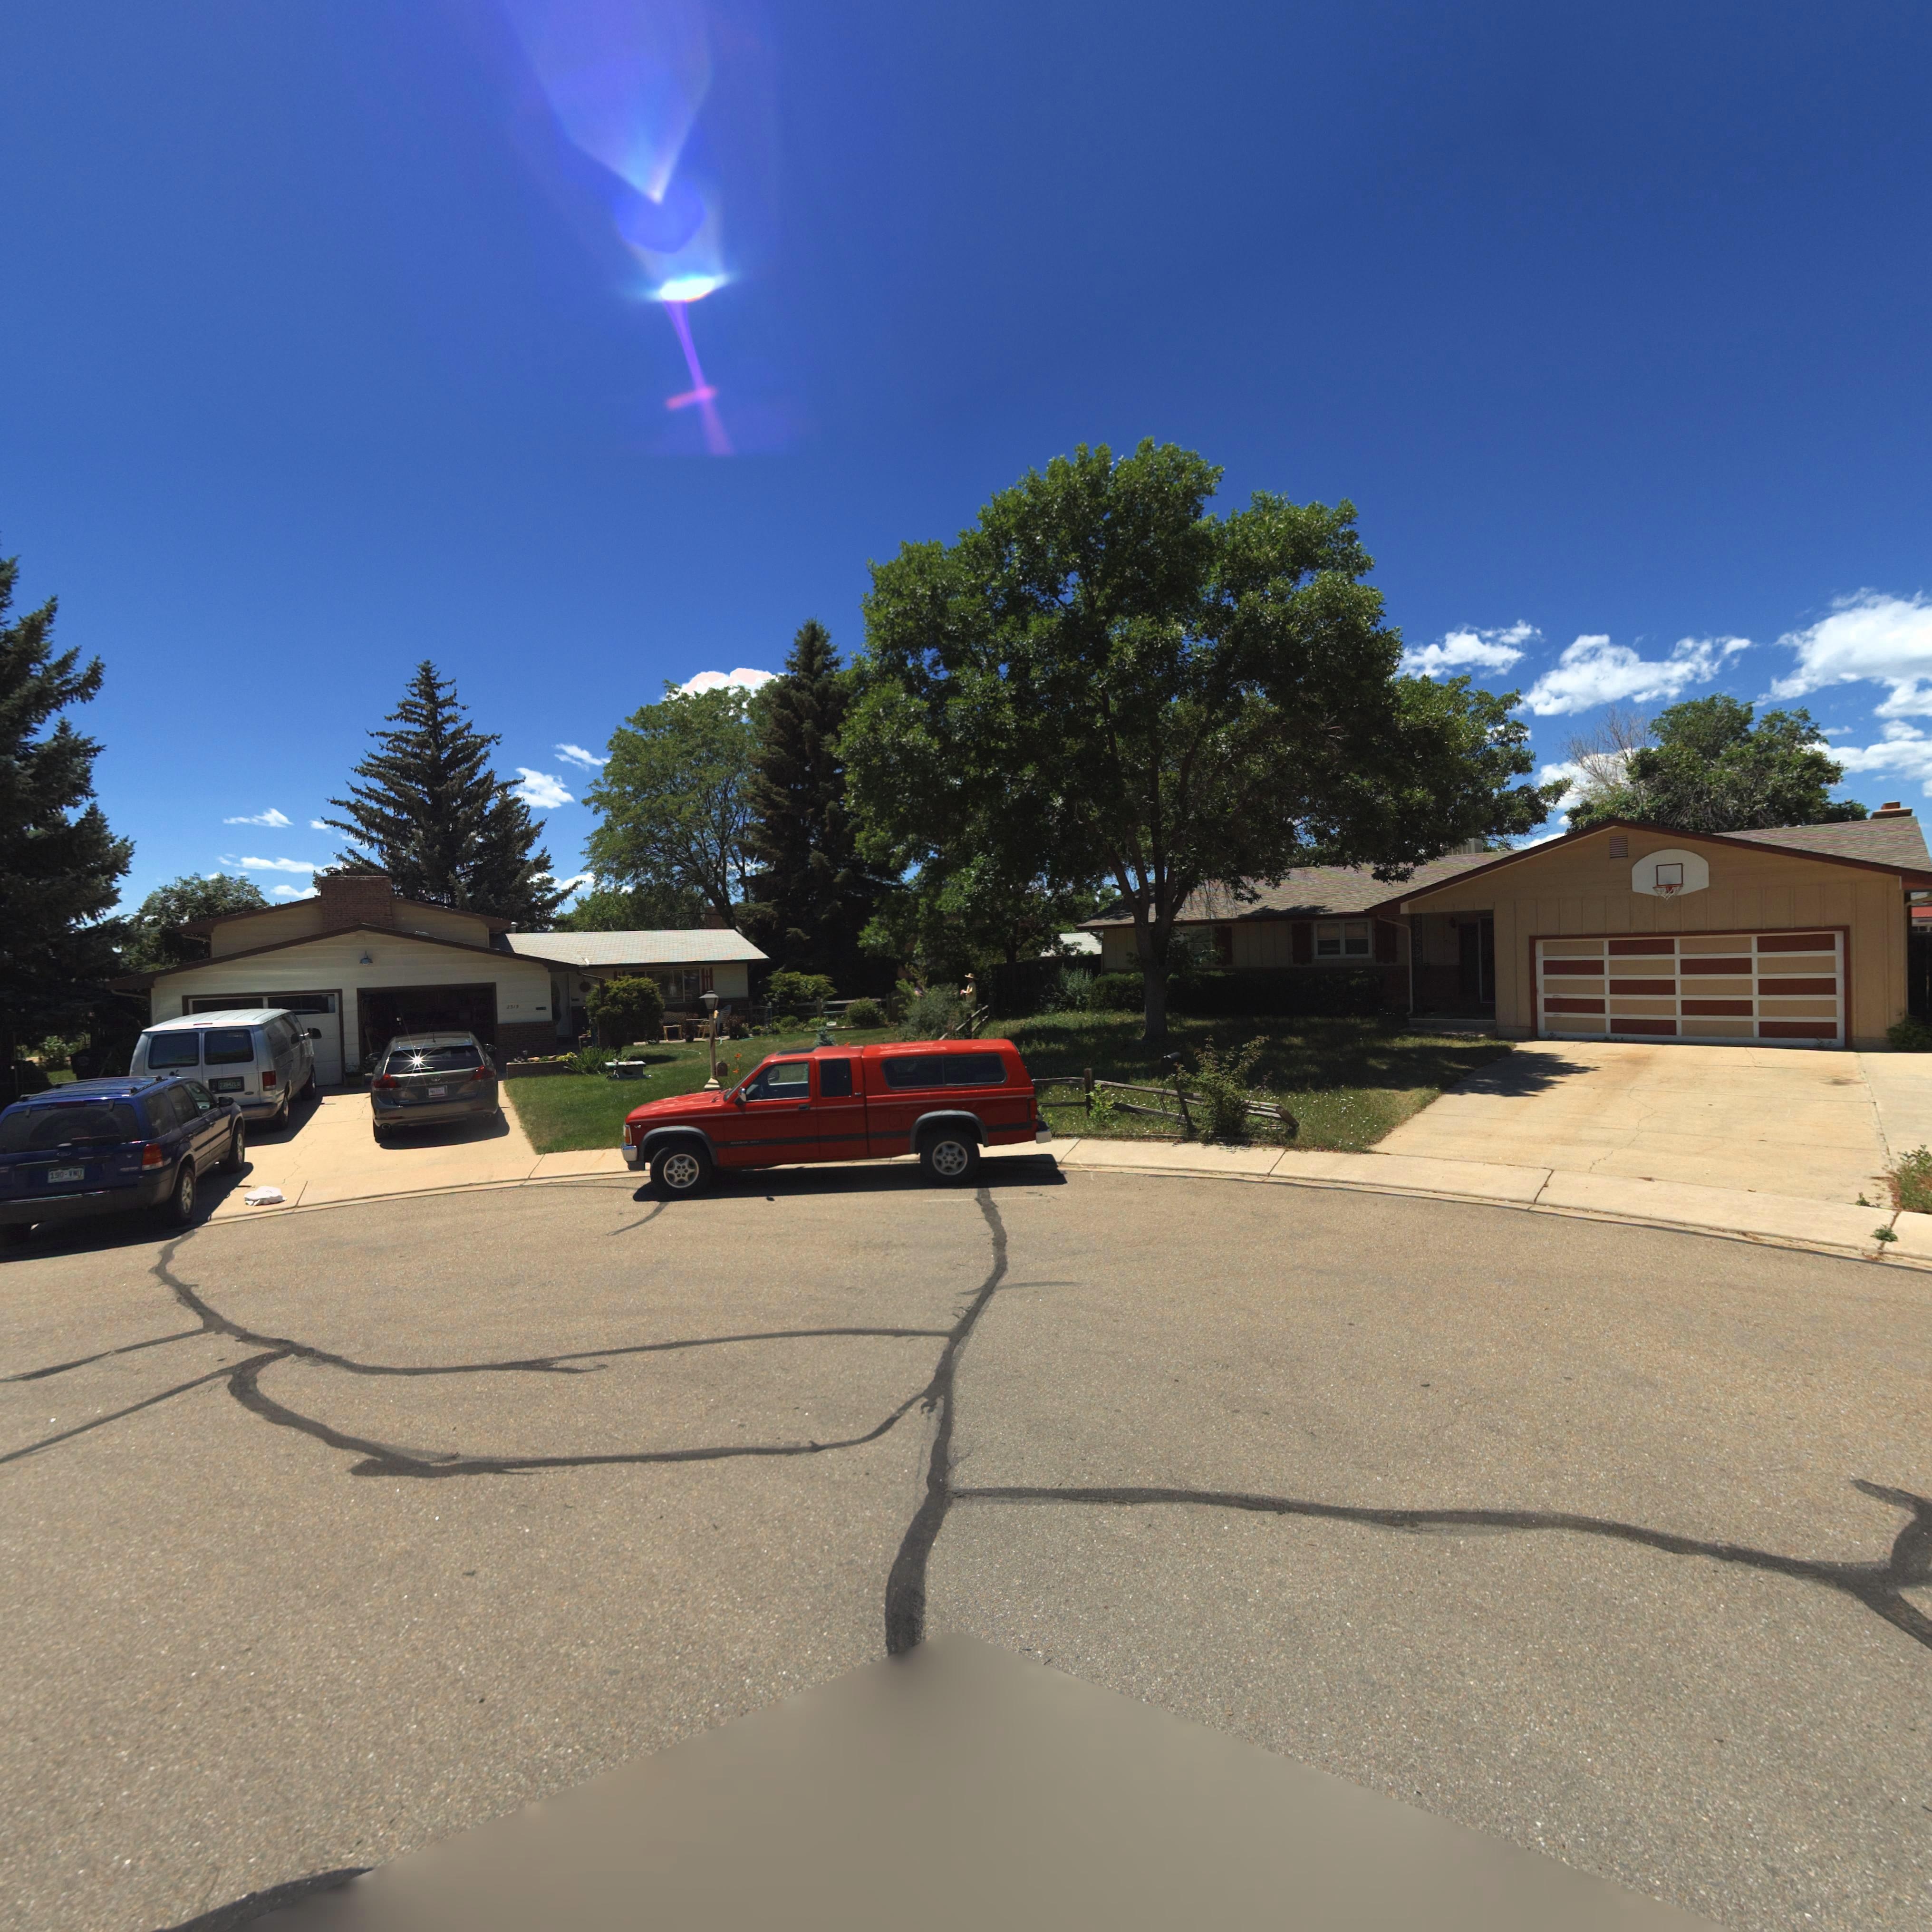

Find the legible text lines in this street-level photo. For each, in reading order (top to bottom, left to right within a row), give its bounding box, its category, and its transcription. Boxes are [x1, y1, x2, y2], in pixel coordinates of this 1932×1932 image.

[506, 1004, 519, 1009] StreetNumber: 231*